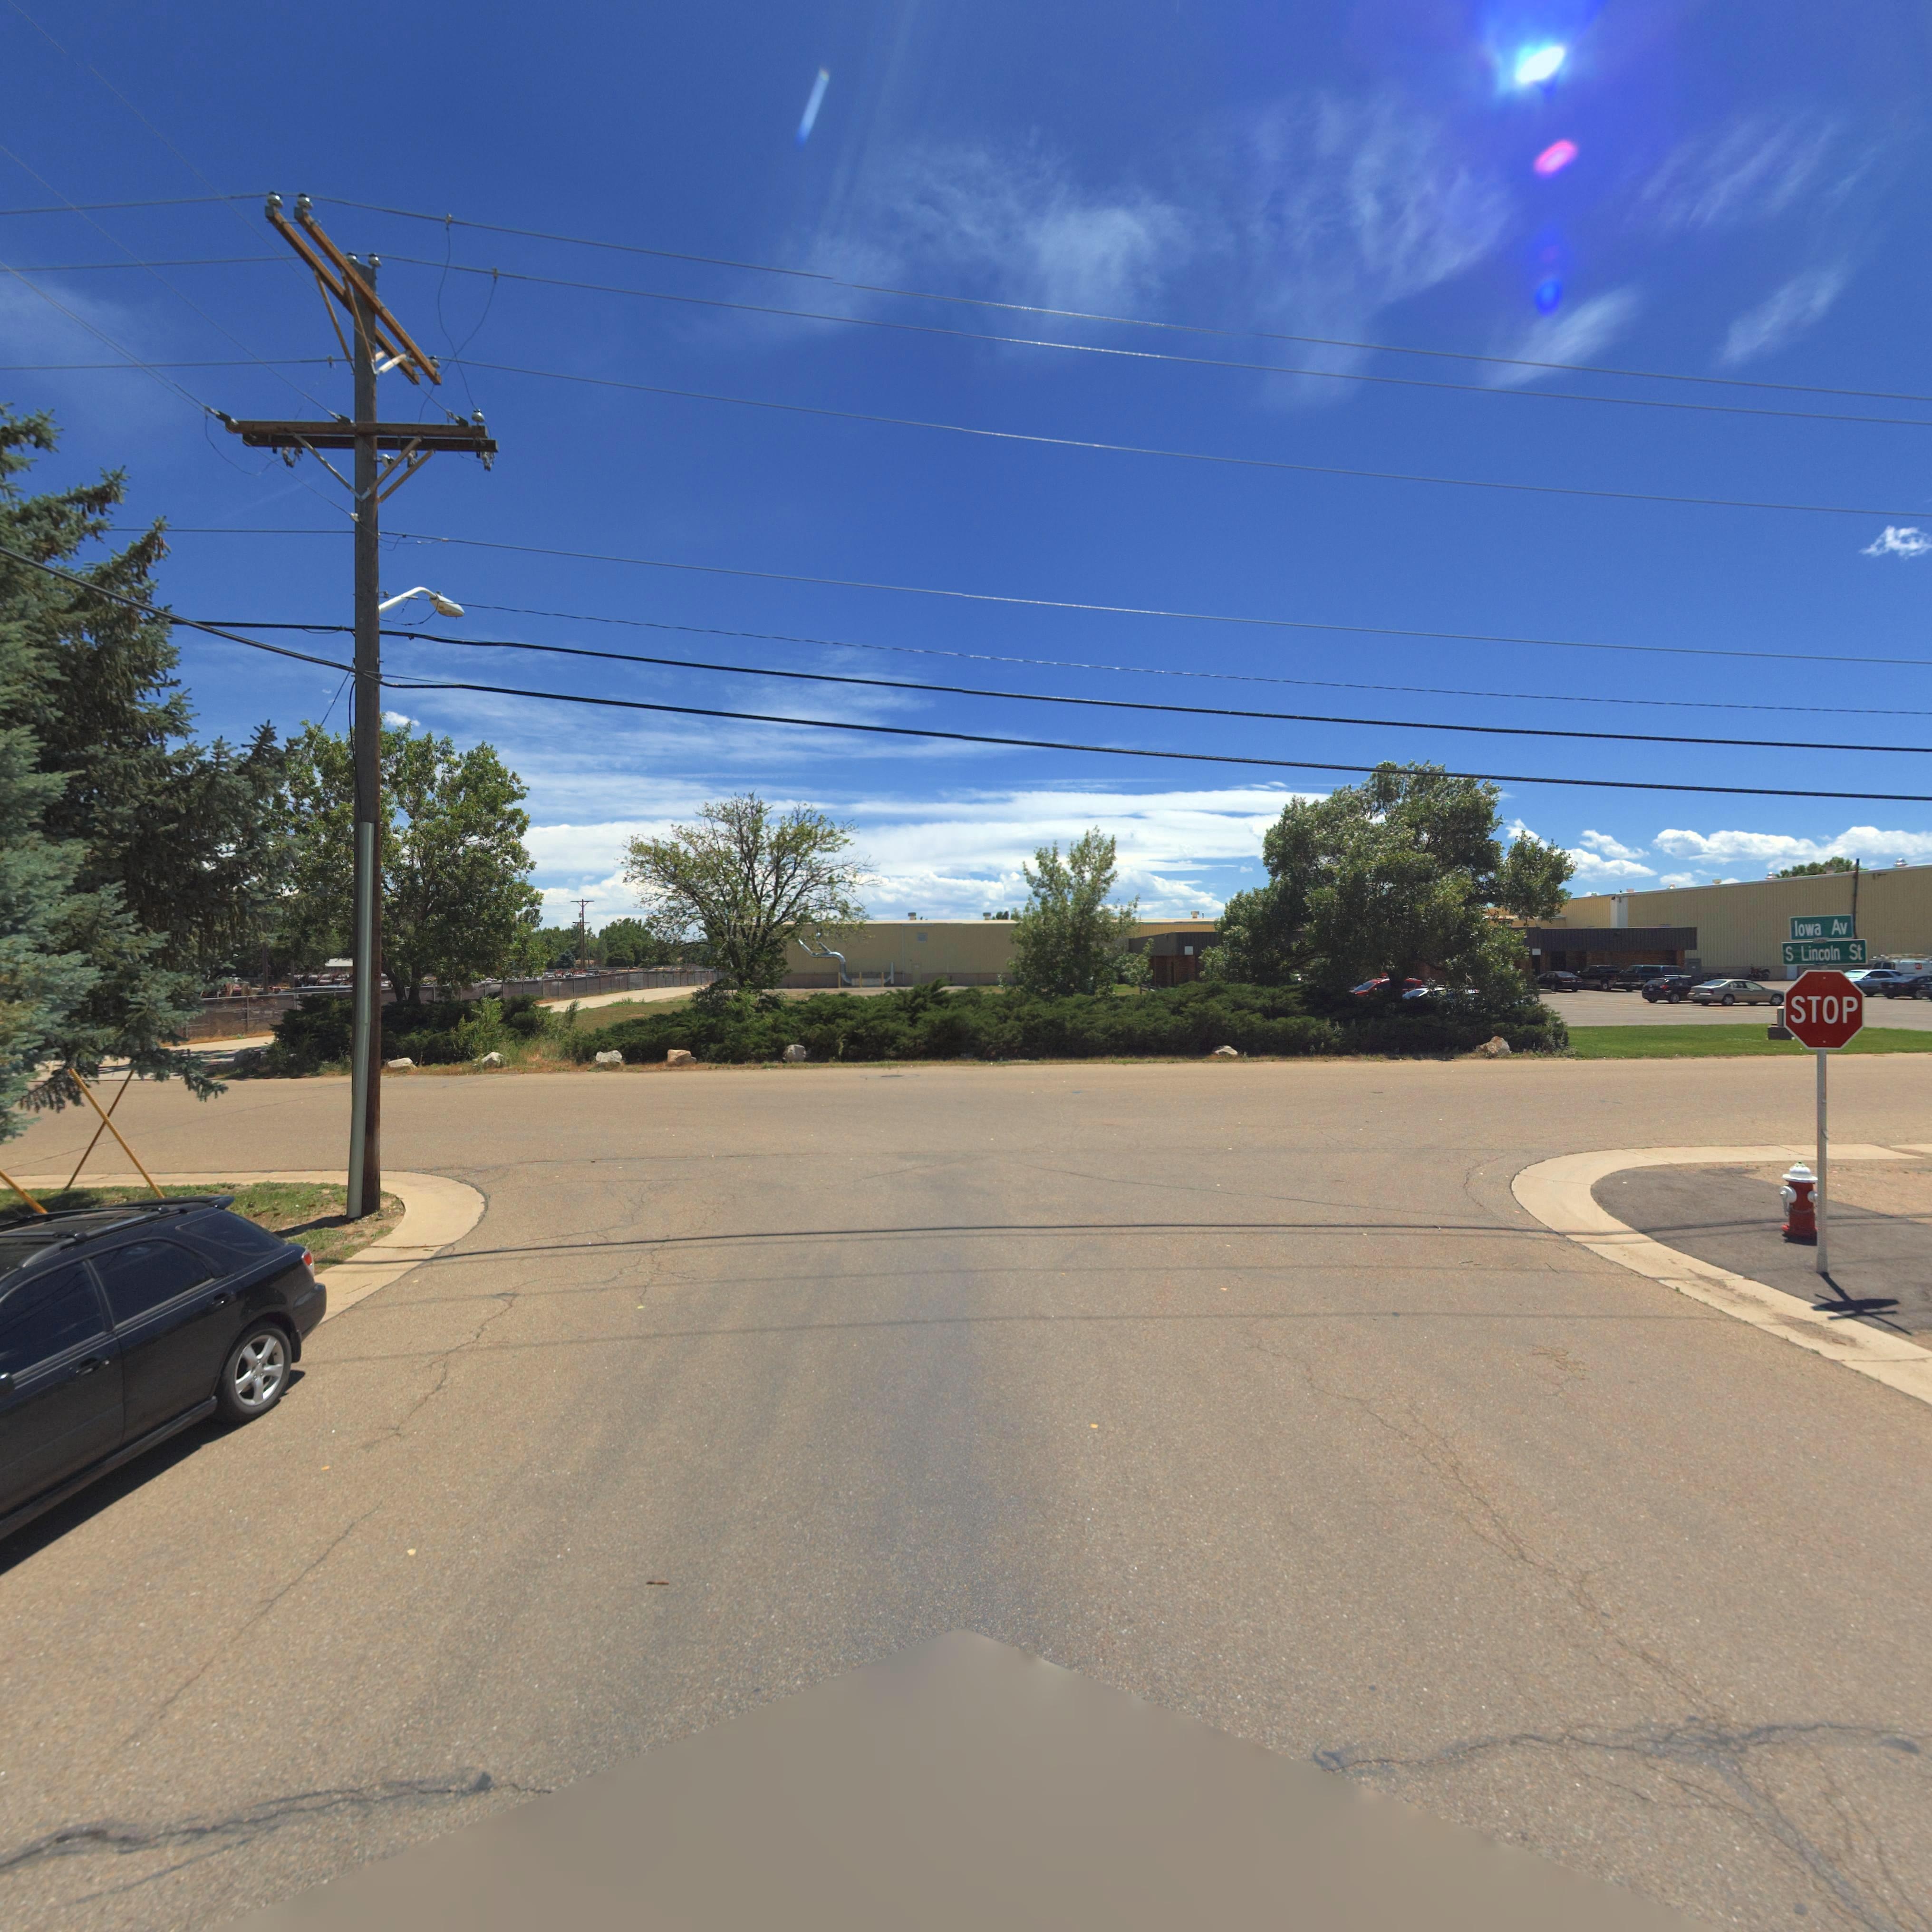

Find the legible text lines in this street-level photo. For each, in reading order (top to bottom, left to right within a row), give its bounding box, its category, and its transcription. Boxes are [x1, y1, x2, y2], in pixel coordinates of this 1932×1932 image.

[1794, 918, 1848, 937] StreetName: Iowa Av
[1785, 943, 1863, 962] StreetName: S Lincoln St